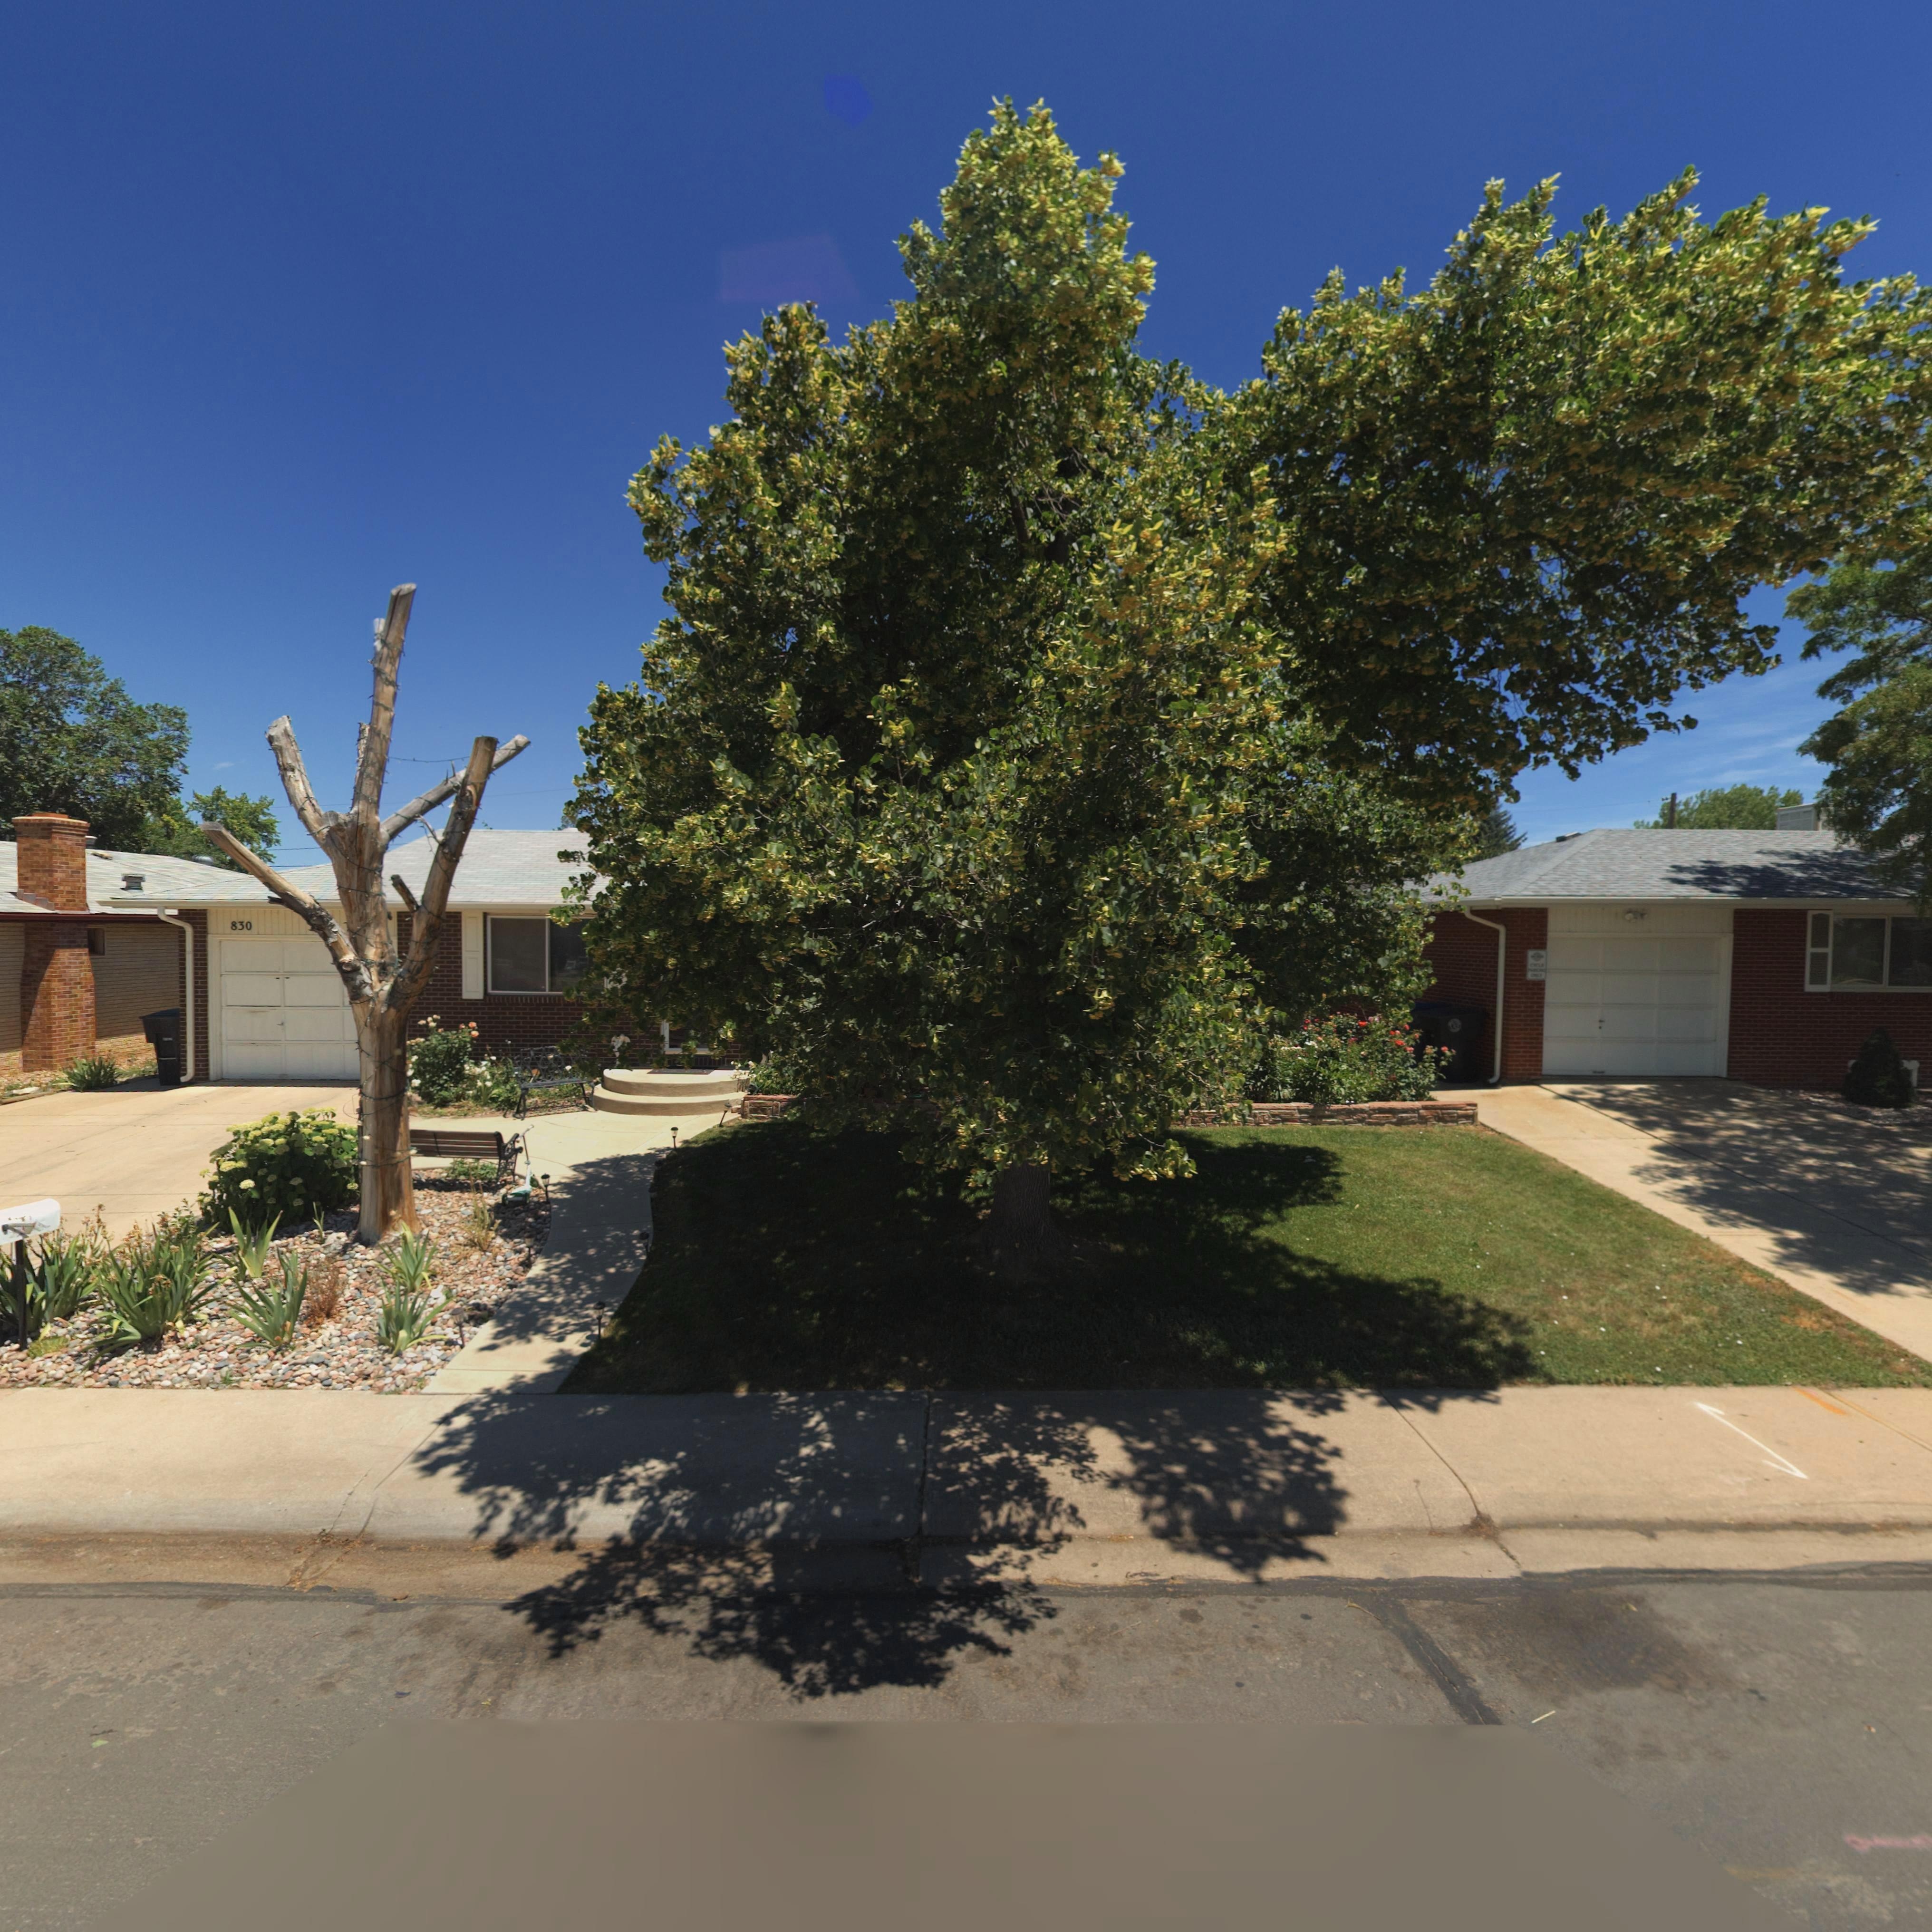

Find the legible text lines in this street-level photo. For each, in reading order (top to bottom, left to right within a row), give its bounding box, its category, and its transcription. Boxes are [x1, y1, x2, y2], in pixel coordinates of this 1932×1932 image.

[231, 921, 252, 930] StreetNumber: 830